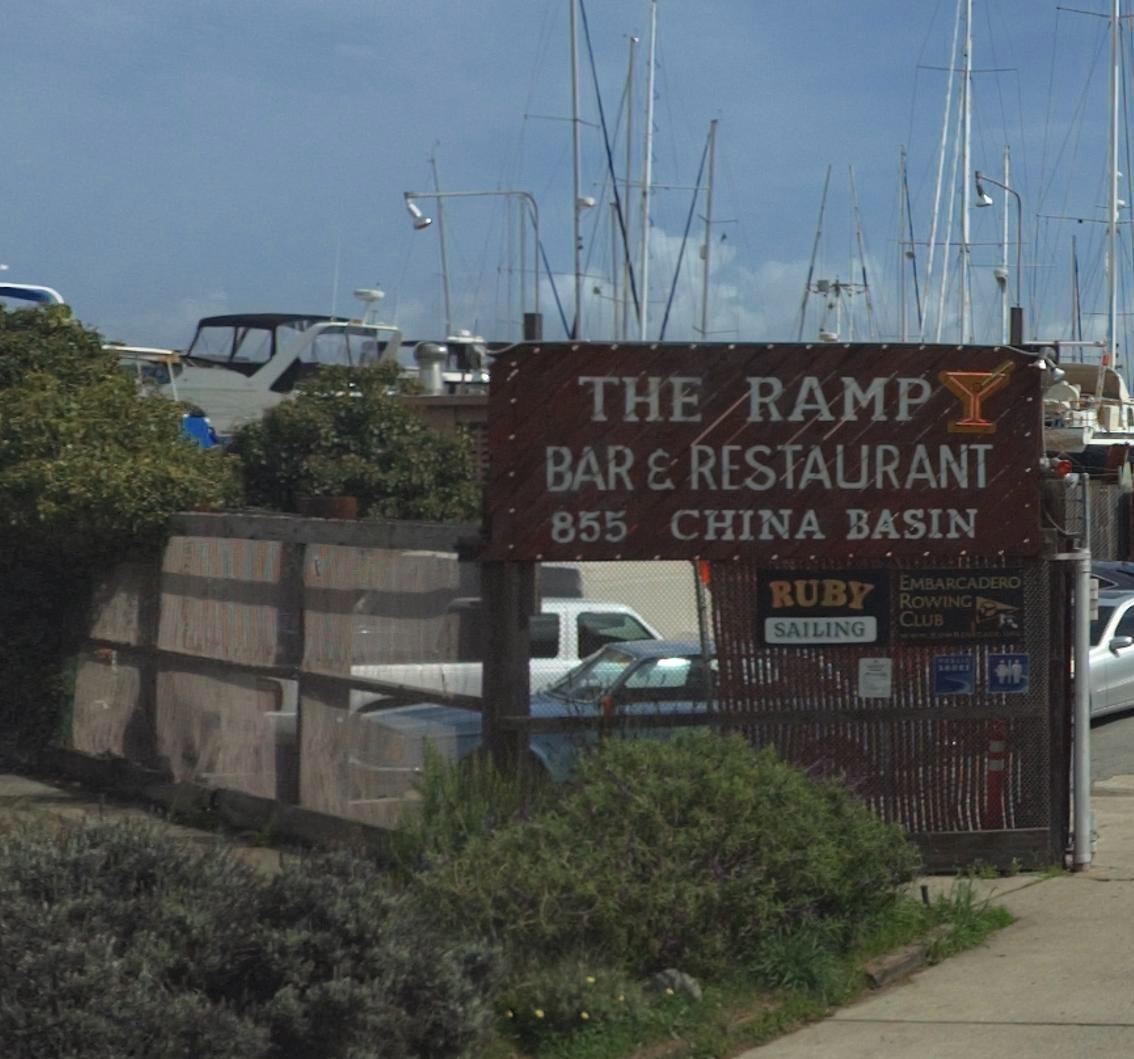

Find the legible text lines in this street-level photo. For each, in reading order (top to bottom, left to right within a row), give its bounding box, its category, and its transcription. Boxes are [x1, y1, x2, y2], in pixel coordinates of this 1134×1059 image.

[577, 375, 932, 422] BusinessName: THE RAMP
[545, 442, 995, 493] None: BAR & RESTAURANT
[549, 508, 629, 545] StreetNumber: 855
[669, 507, 979, 542] None: CHINA BASIN
[767, 577, 880, 611] None: RUBY
[898, 592, 973, 609] None: ROWING
[899, 573, 1021, 591] None: EMBARCADERO
[773, 620, 865, 639] None: SAILING
[899, 611, 946, 628] None: CLUB